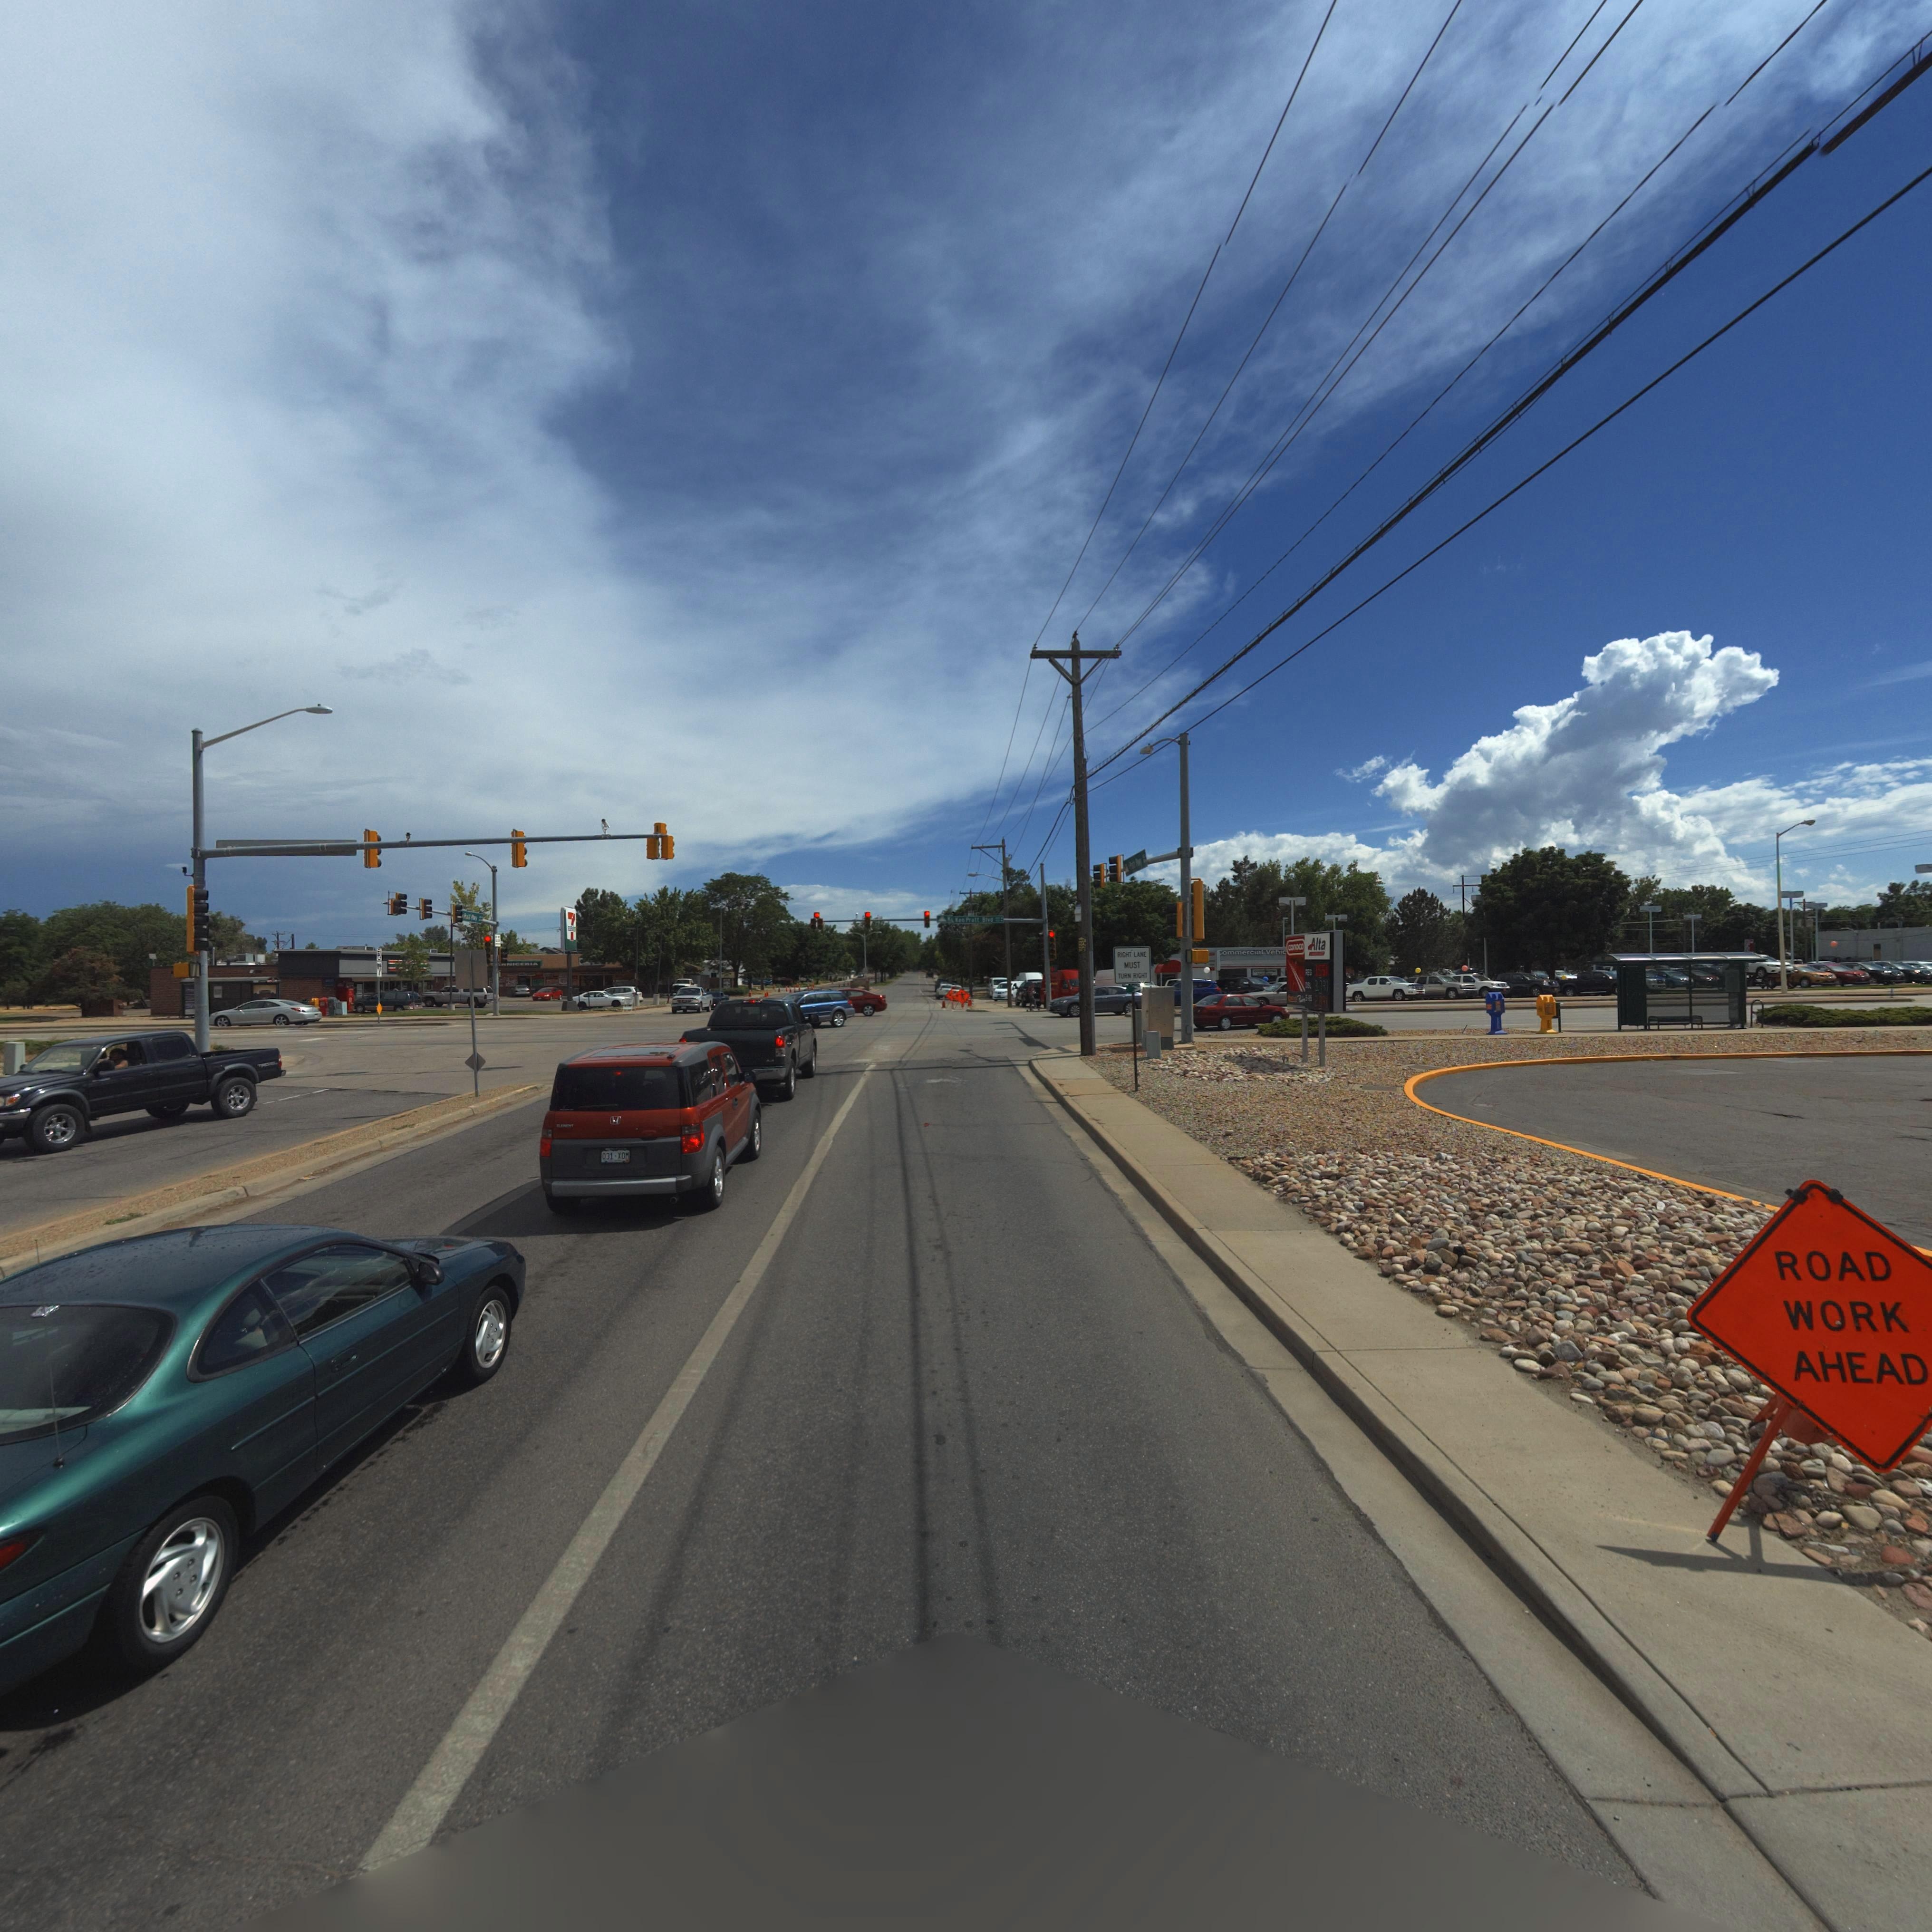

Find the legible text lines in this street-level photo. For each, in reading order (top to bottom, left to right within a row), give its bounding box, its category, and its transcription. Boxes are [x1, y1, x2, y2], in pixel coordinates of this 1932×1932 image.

[1128, 857, 1142, 870] StreetName: Pratt Pkwy
[463, 912, 478, 921] StreetName: Pratt Pkwy
[947, 916, 994, 923] StreetName: K* Ken Pratt Blvd
[567, 911, 575, 940] BusinessName: 7
[567, 925, 576, 932] BusinessName: ELEVEN
[1287, 943, 1304, 951] BusinessName: conoco
[1309, 937, 1325, 950] BusinessName: Alta